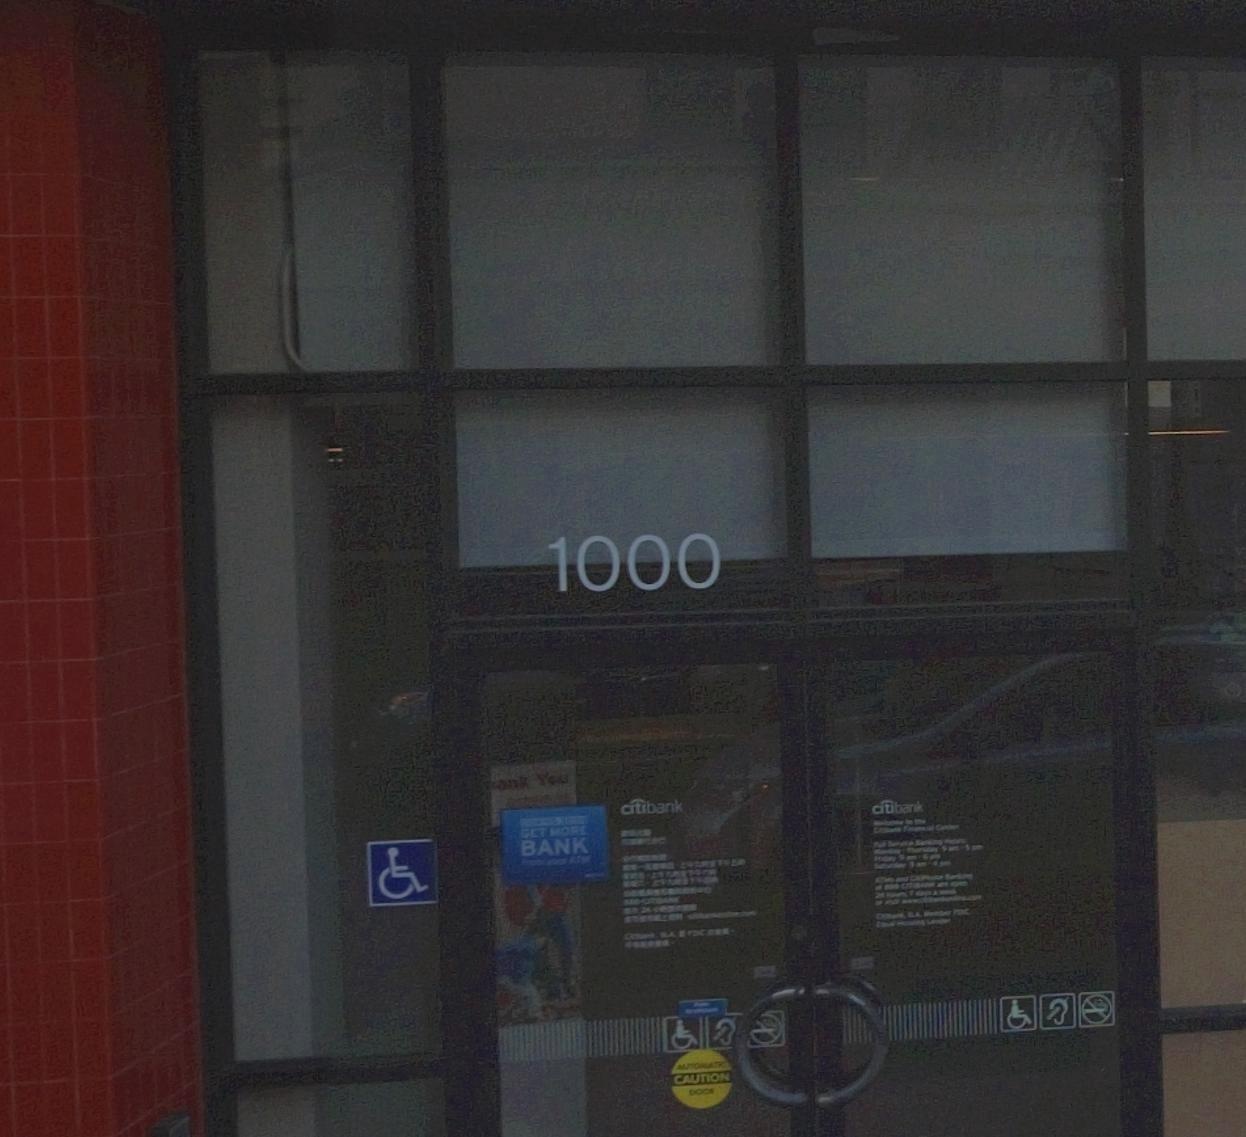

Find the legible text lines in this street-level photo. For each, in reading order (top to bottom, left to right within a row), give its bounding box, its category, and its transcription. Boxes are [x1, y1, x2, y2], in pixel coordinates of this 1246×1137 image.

[547, 532, 725, 594] StreetNumber: 1000
[620, 797, 688, 816] BusinessName: citibank
[871, 799, 926, 815] BusinessName: citibank
[522, 824, 589, 838] None: GET MORE
[520, 836, 590, 858] None: BANK
[673, 1071, 732, 1085] None: CAUTION